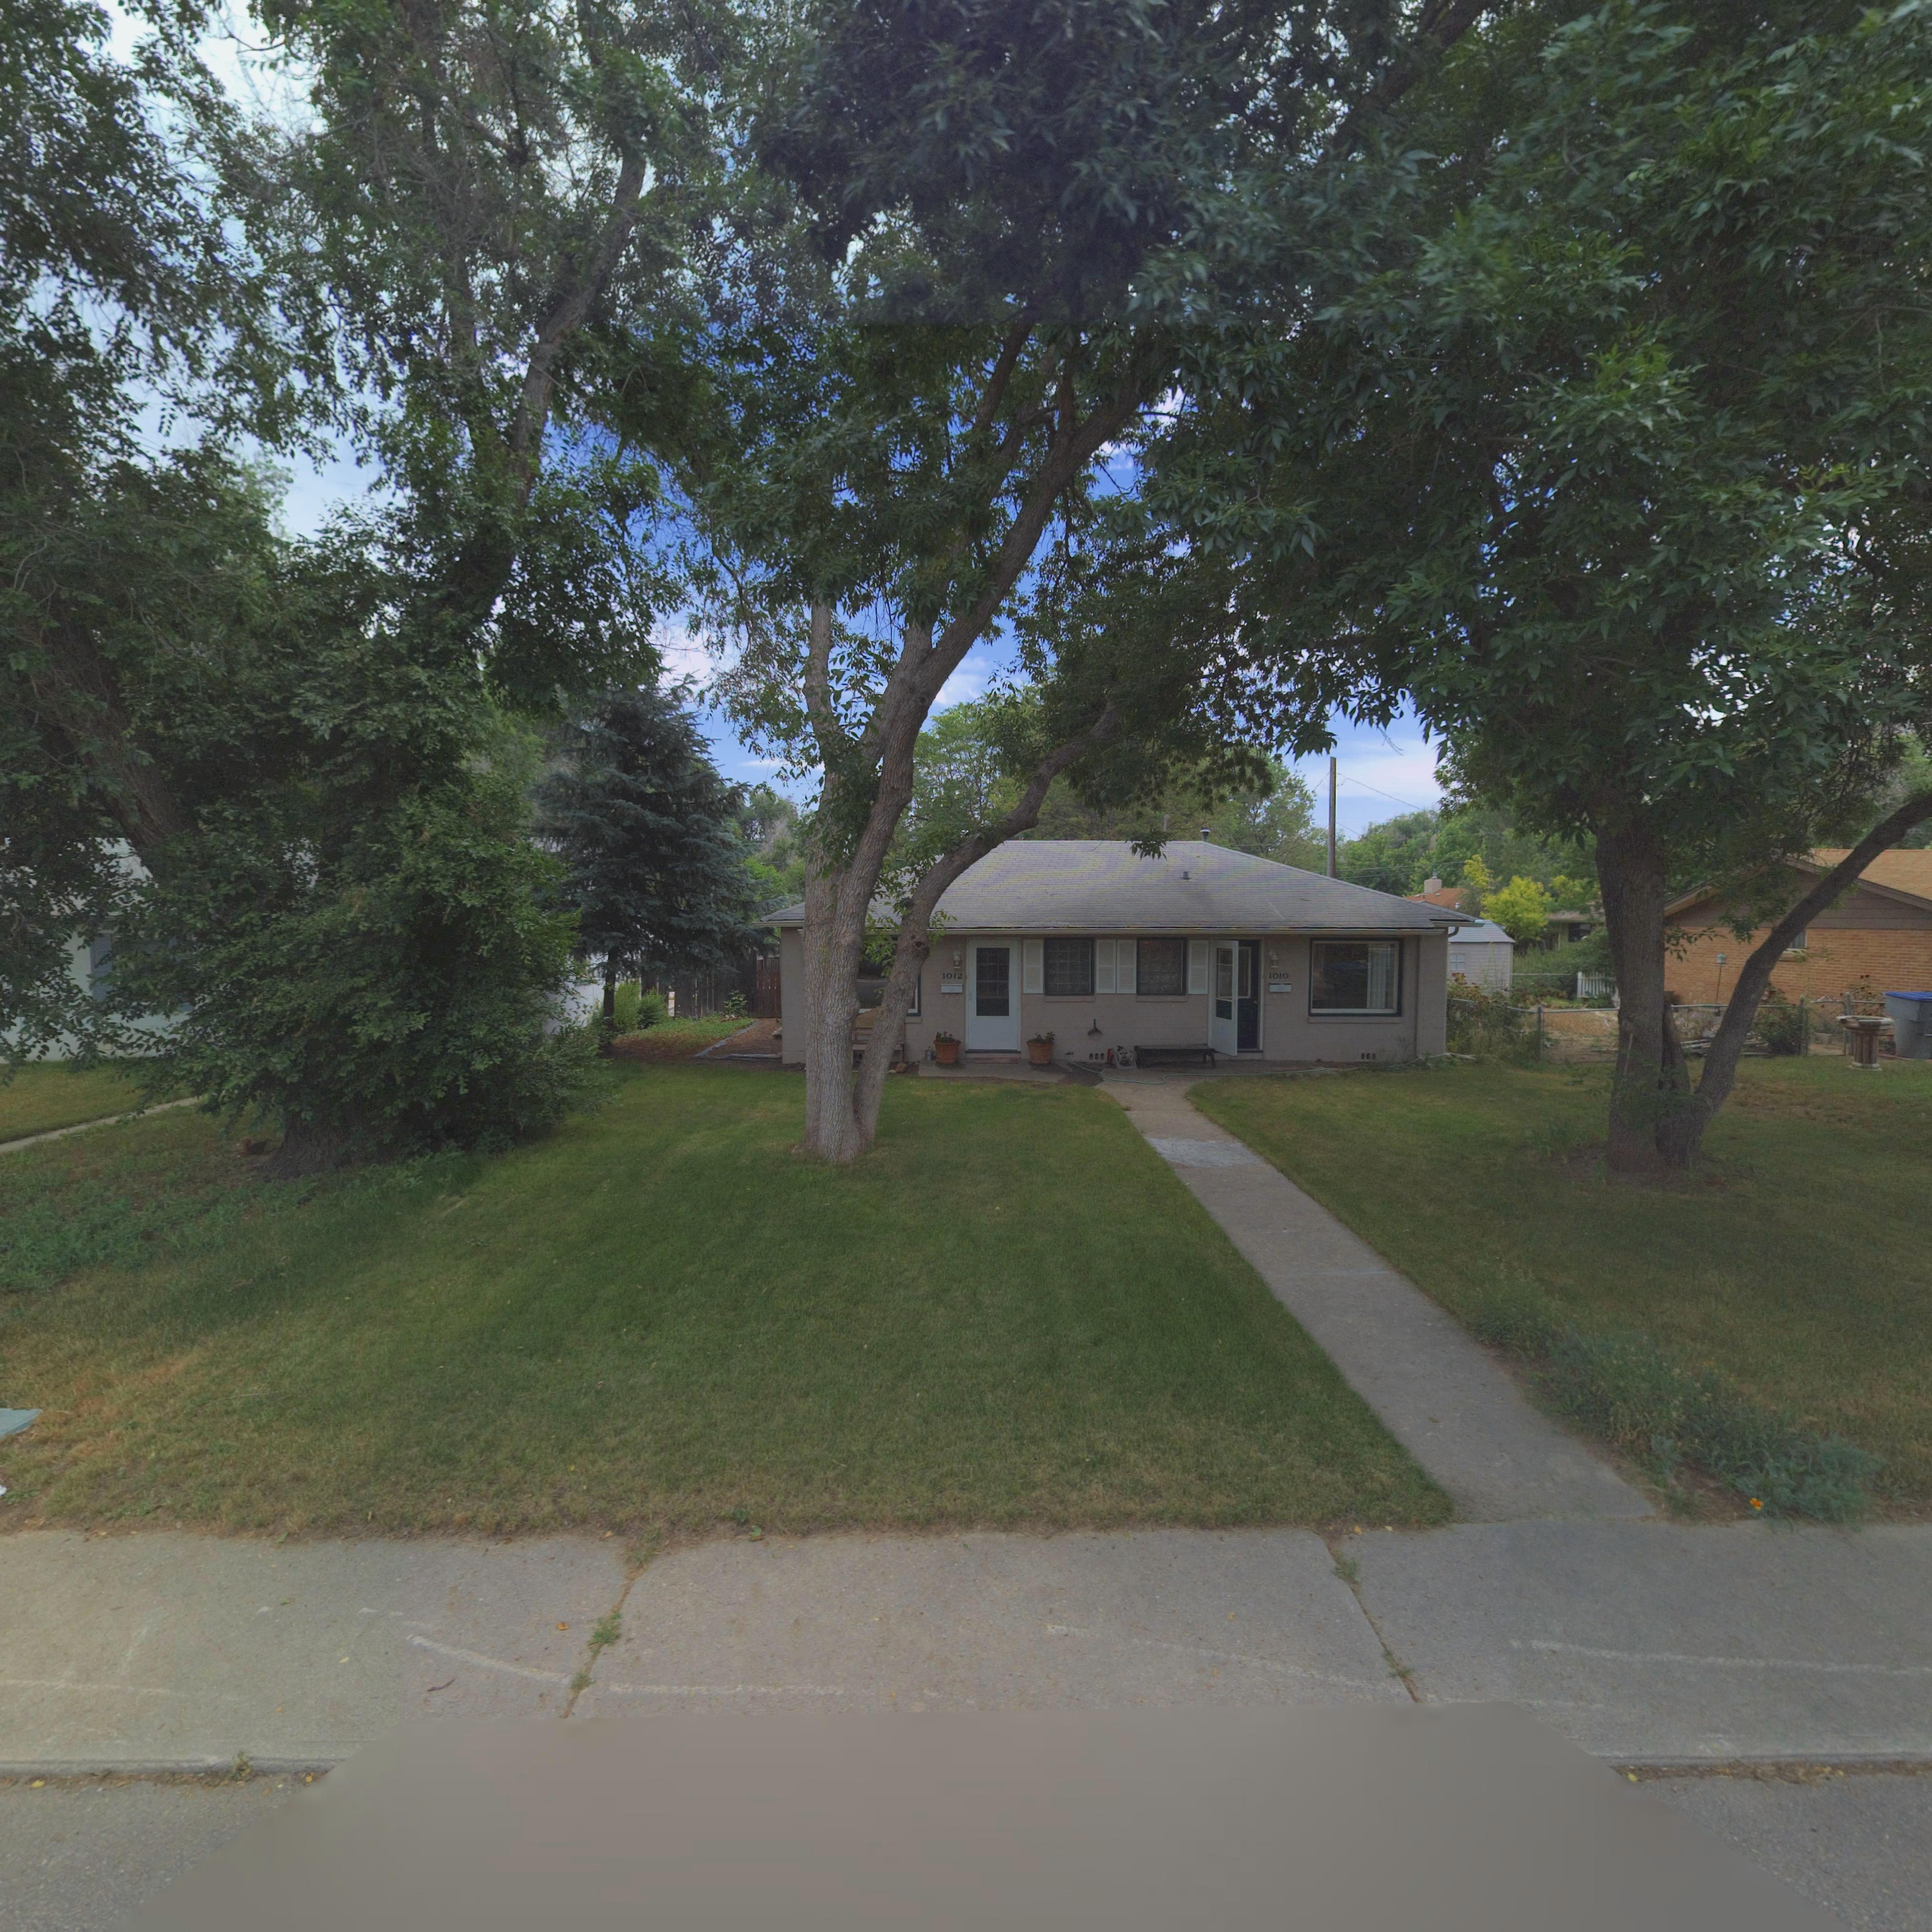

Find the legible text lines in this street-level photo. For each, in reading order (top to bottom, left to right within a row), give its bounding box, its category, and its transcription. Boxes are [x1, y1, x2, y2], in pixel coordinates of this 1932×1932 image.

[942, 972, 962, 979] StreetNumber: 1012
[1268, 972, 1289, 979] StreetNumber: 1010